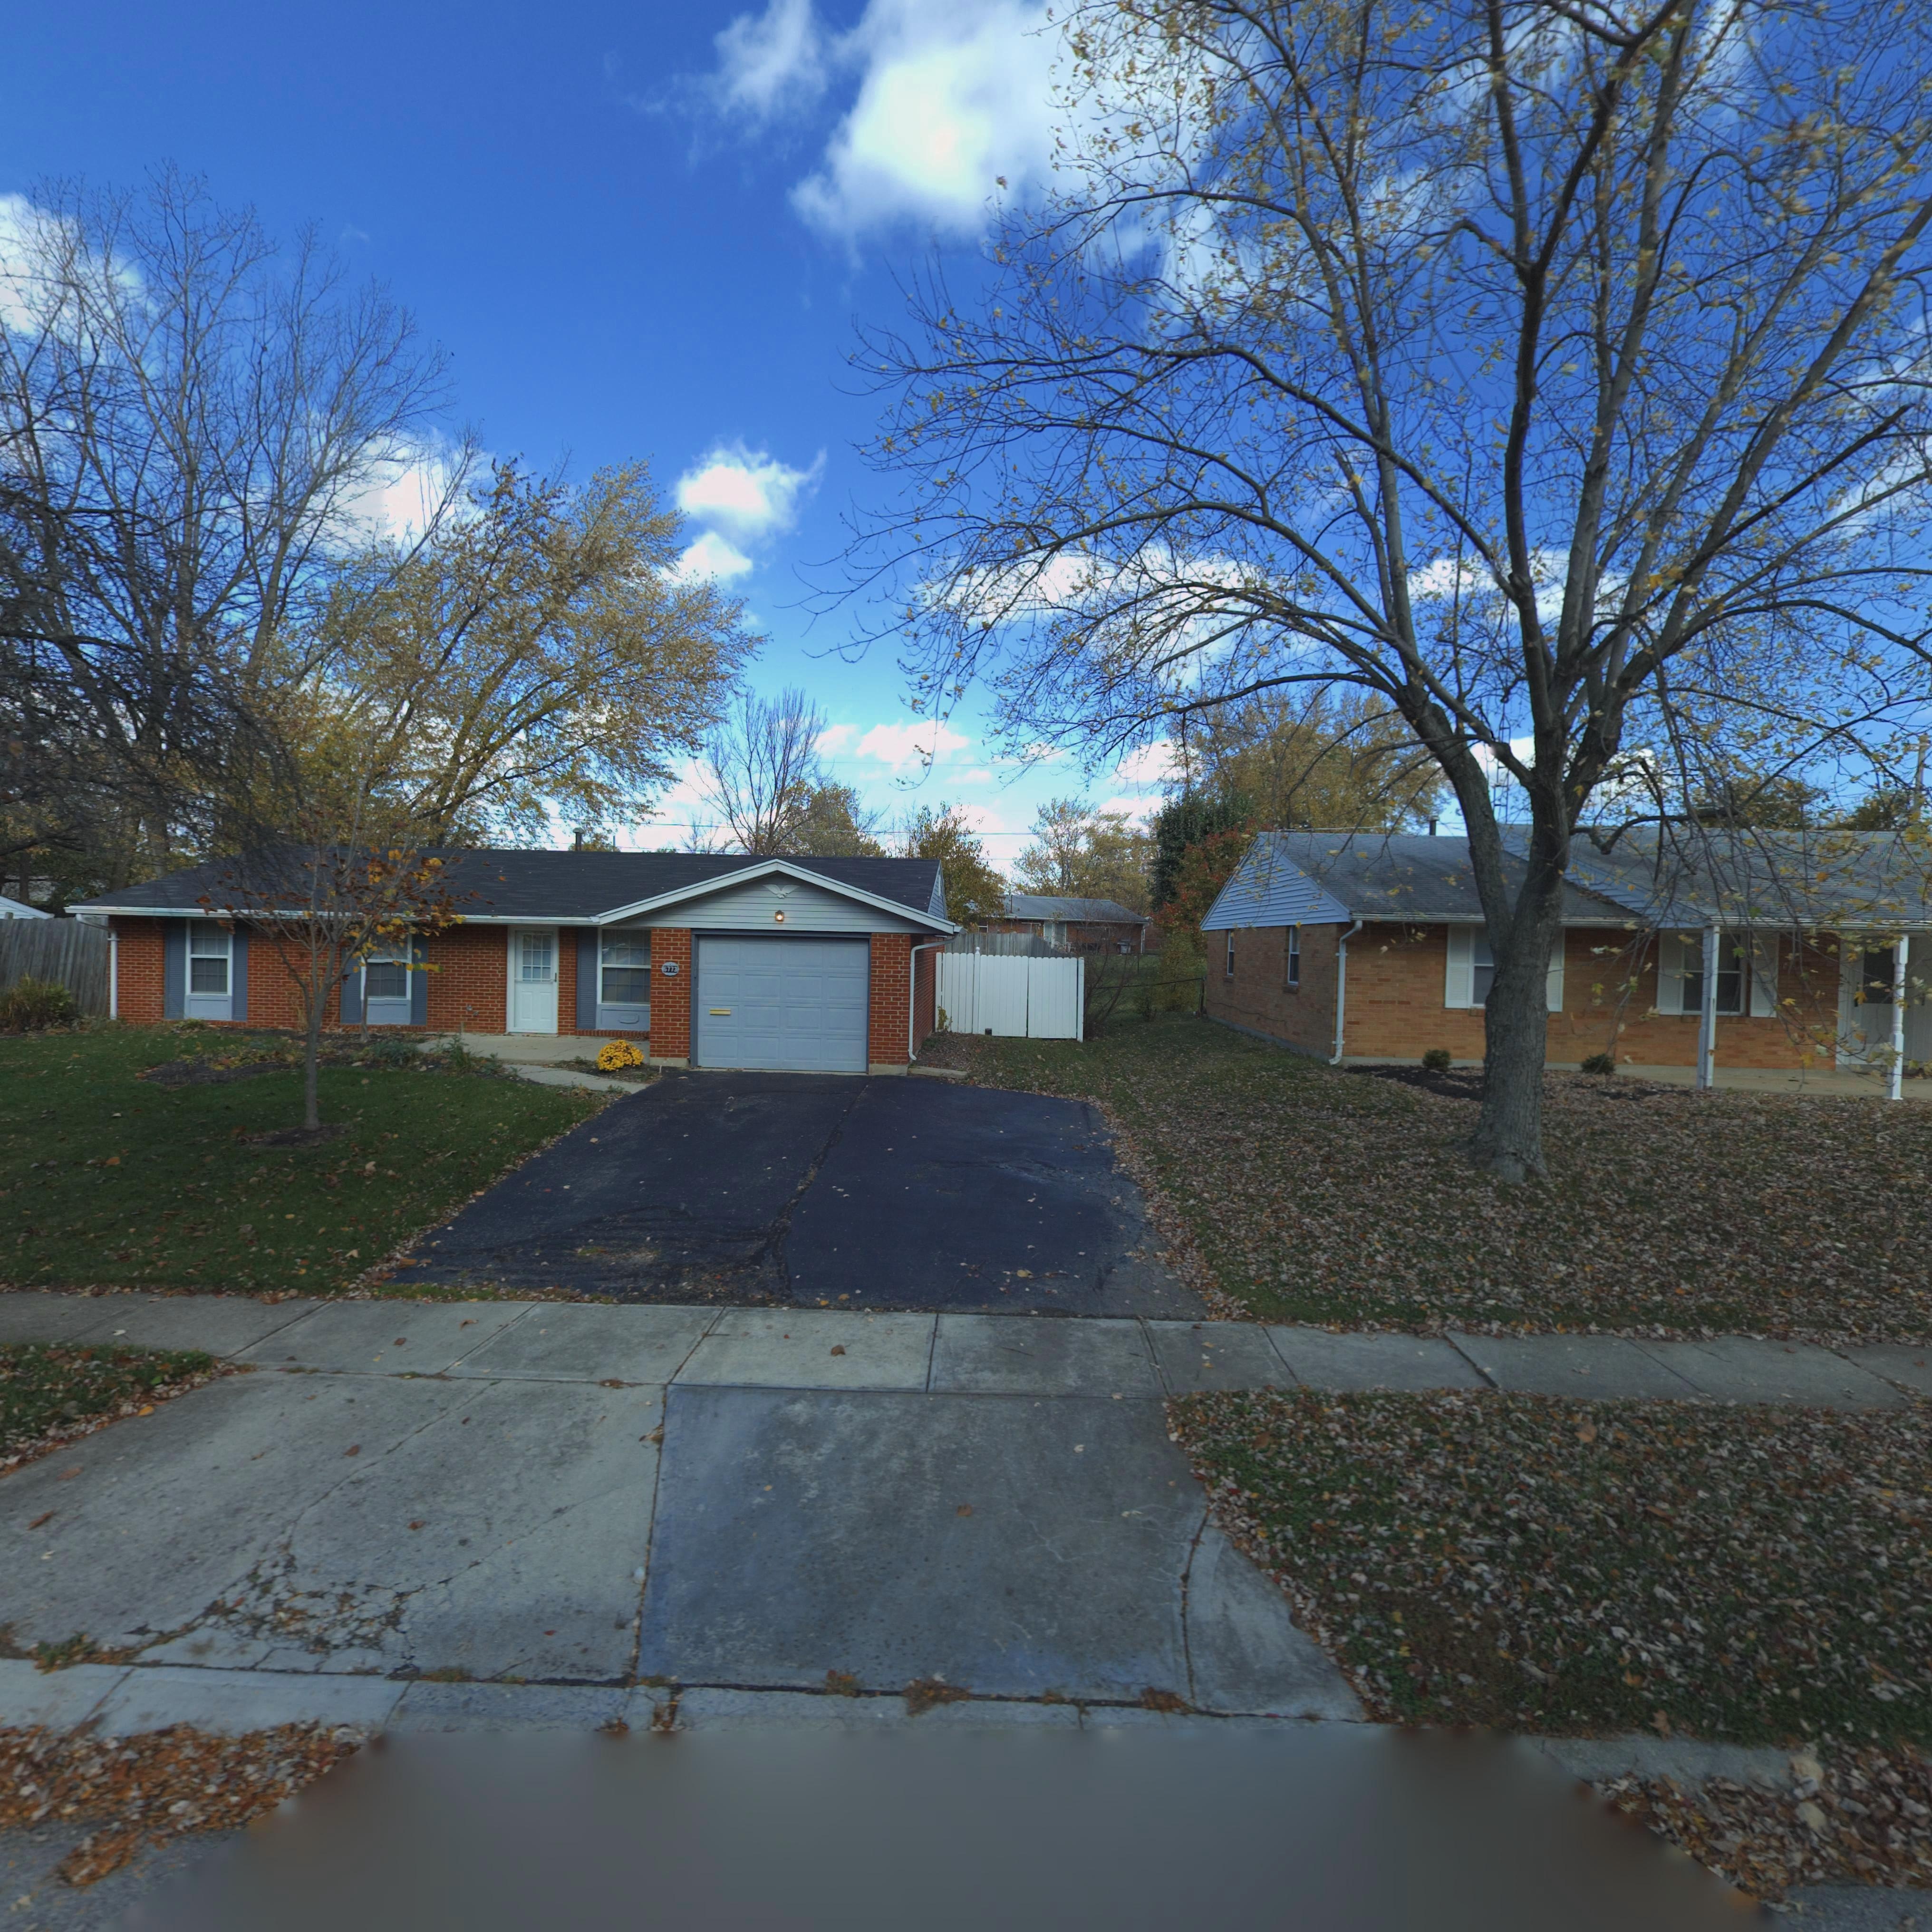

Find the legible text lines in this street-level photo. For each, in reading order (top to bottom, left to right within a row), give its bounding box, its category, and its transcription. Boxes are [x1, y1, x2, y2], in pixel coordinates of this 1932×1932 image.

[663, 966, 678, 973] StreetNumber: 6773